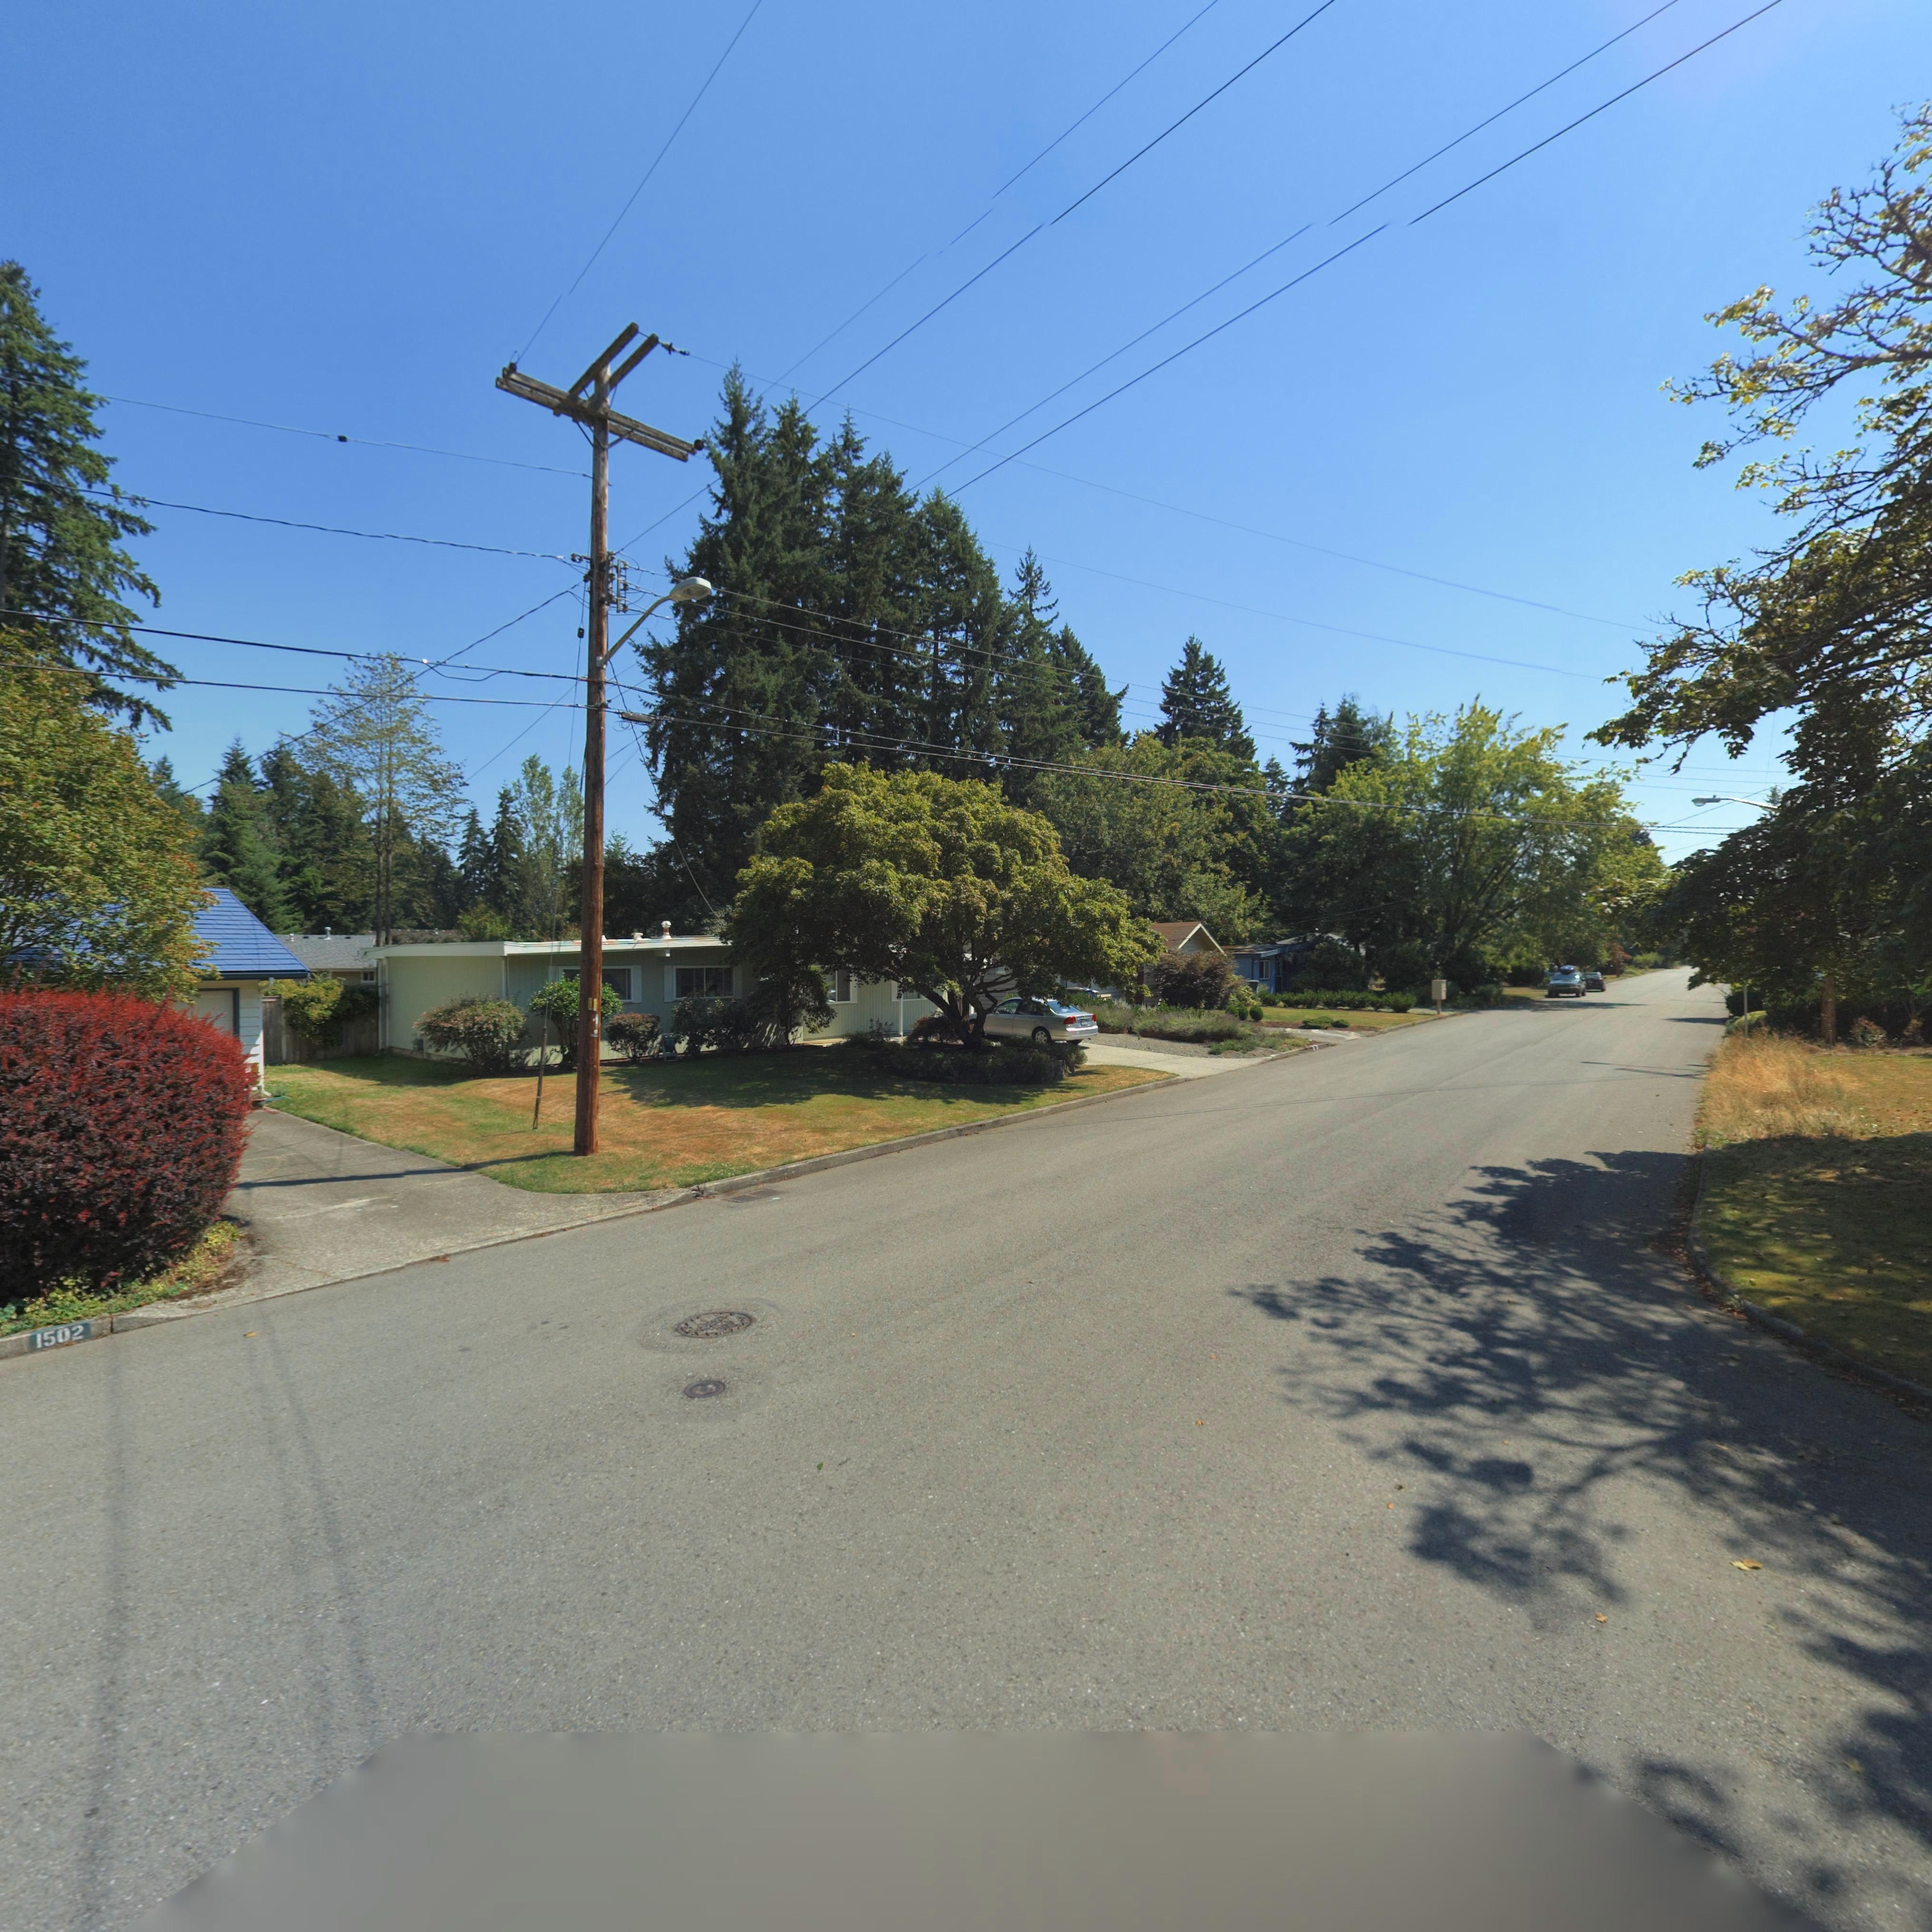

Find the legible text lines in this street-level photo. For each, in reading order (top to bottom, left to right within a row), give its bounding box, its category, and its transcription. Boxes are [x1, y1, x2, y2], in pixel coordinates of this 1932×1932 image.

[36, 1324, 84, 1348] StreetNumber: 1502